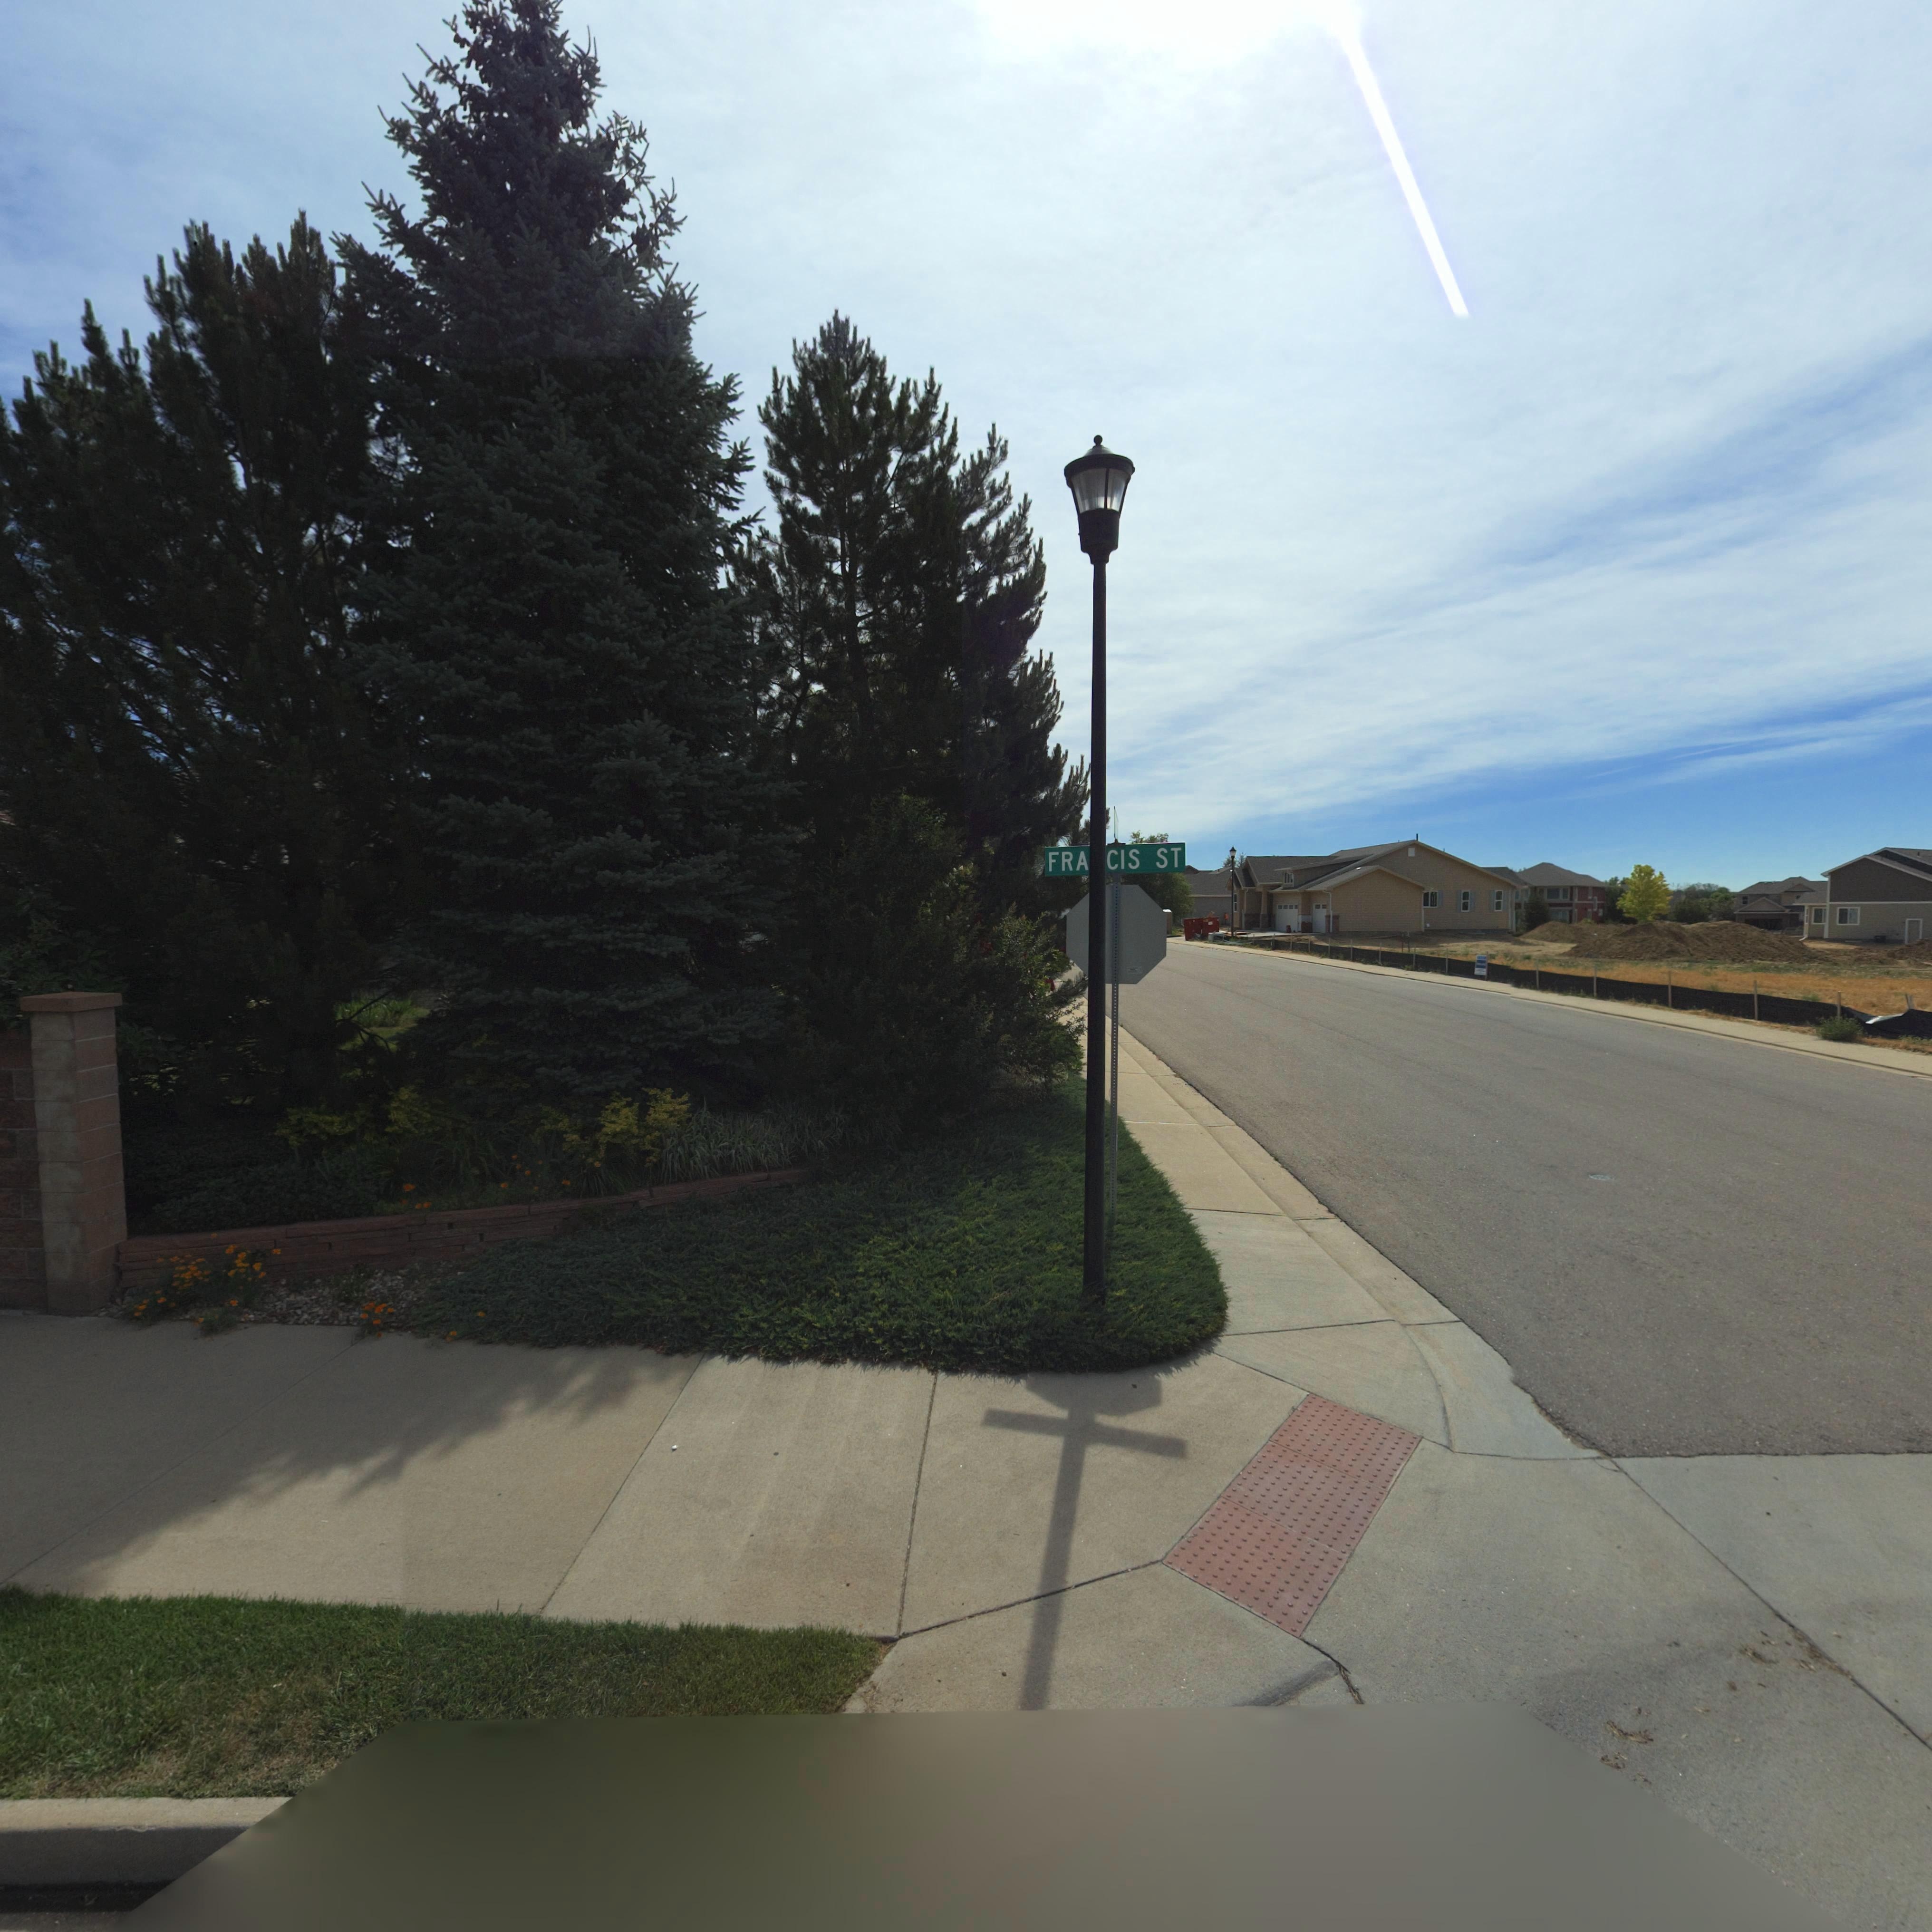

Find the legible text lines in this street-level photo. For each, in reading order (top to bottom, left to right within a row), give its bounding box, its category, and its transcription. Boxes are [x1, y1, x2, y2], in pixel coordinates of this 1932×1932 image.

[1048, 846, 1182, 872] StreetName: FRA*CIS ST